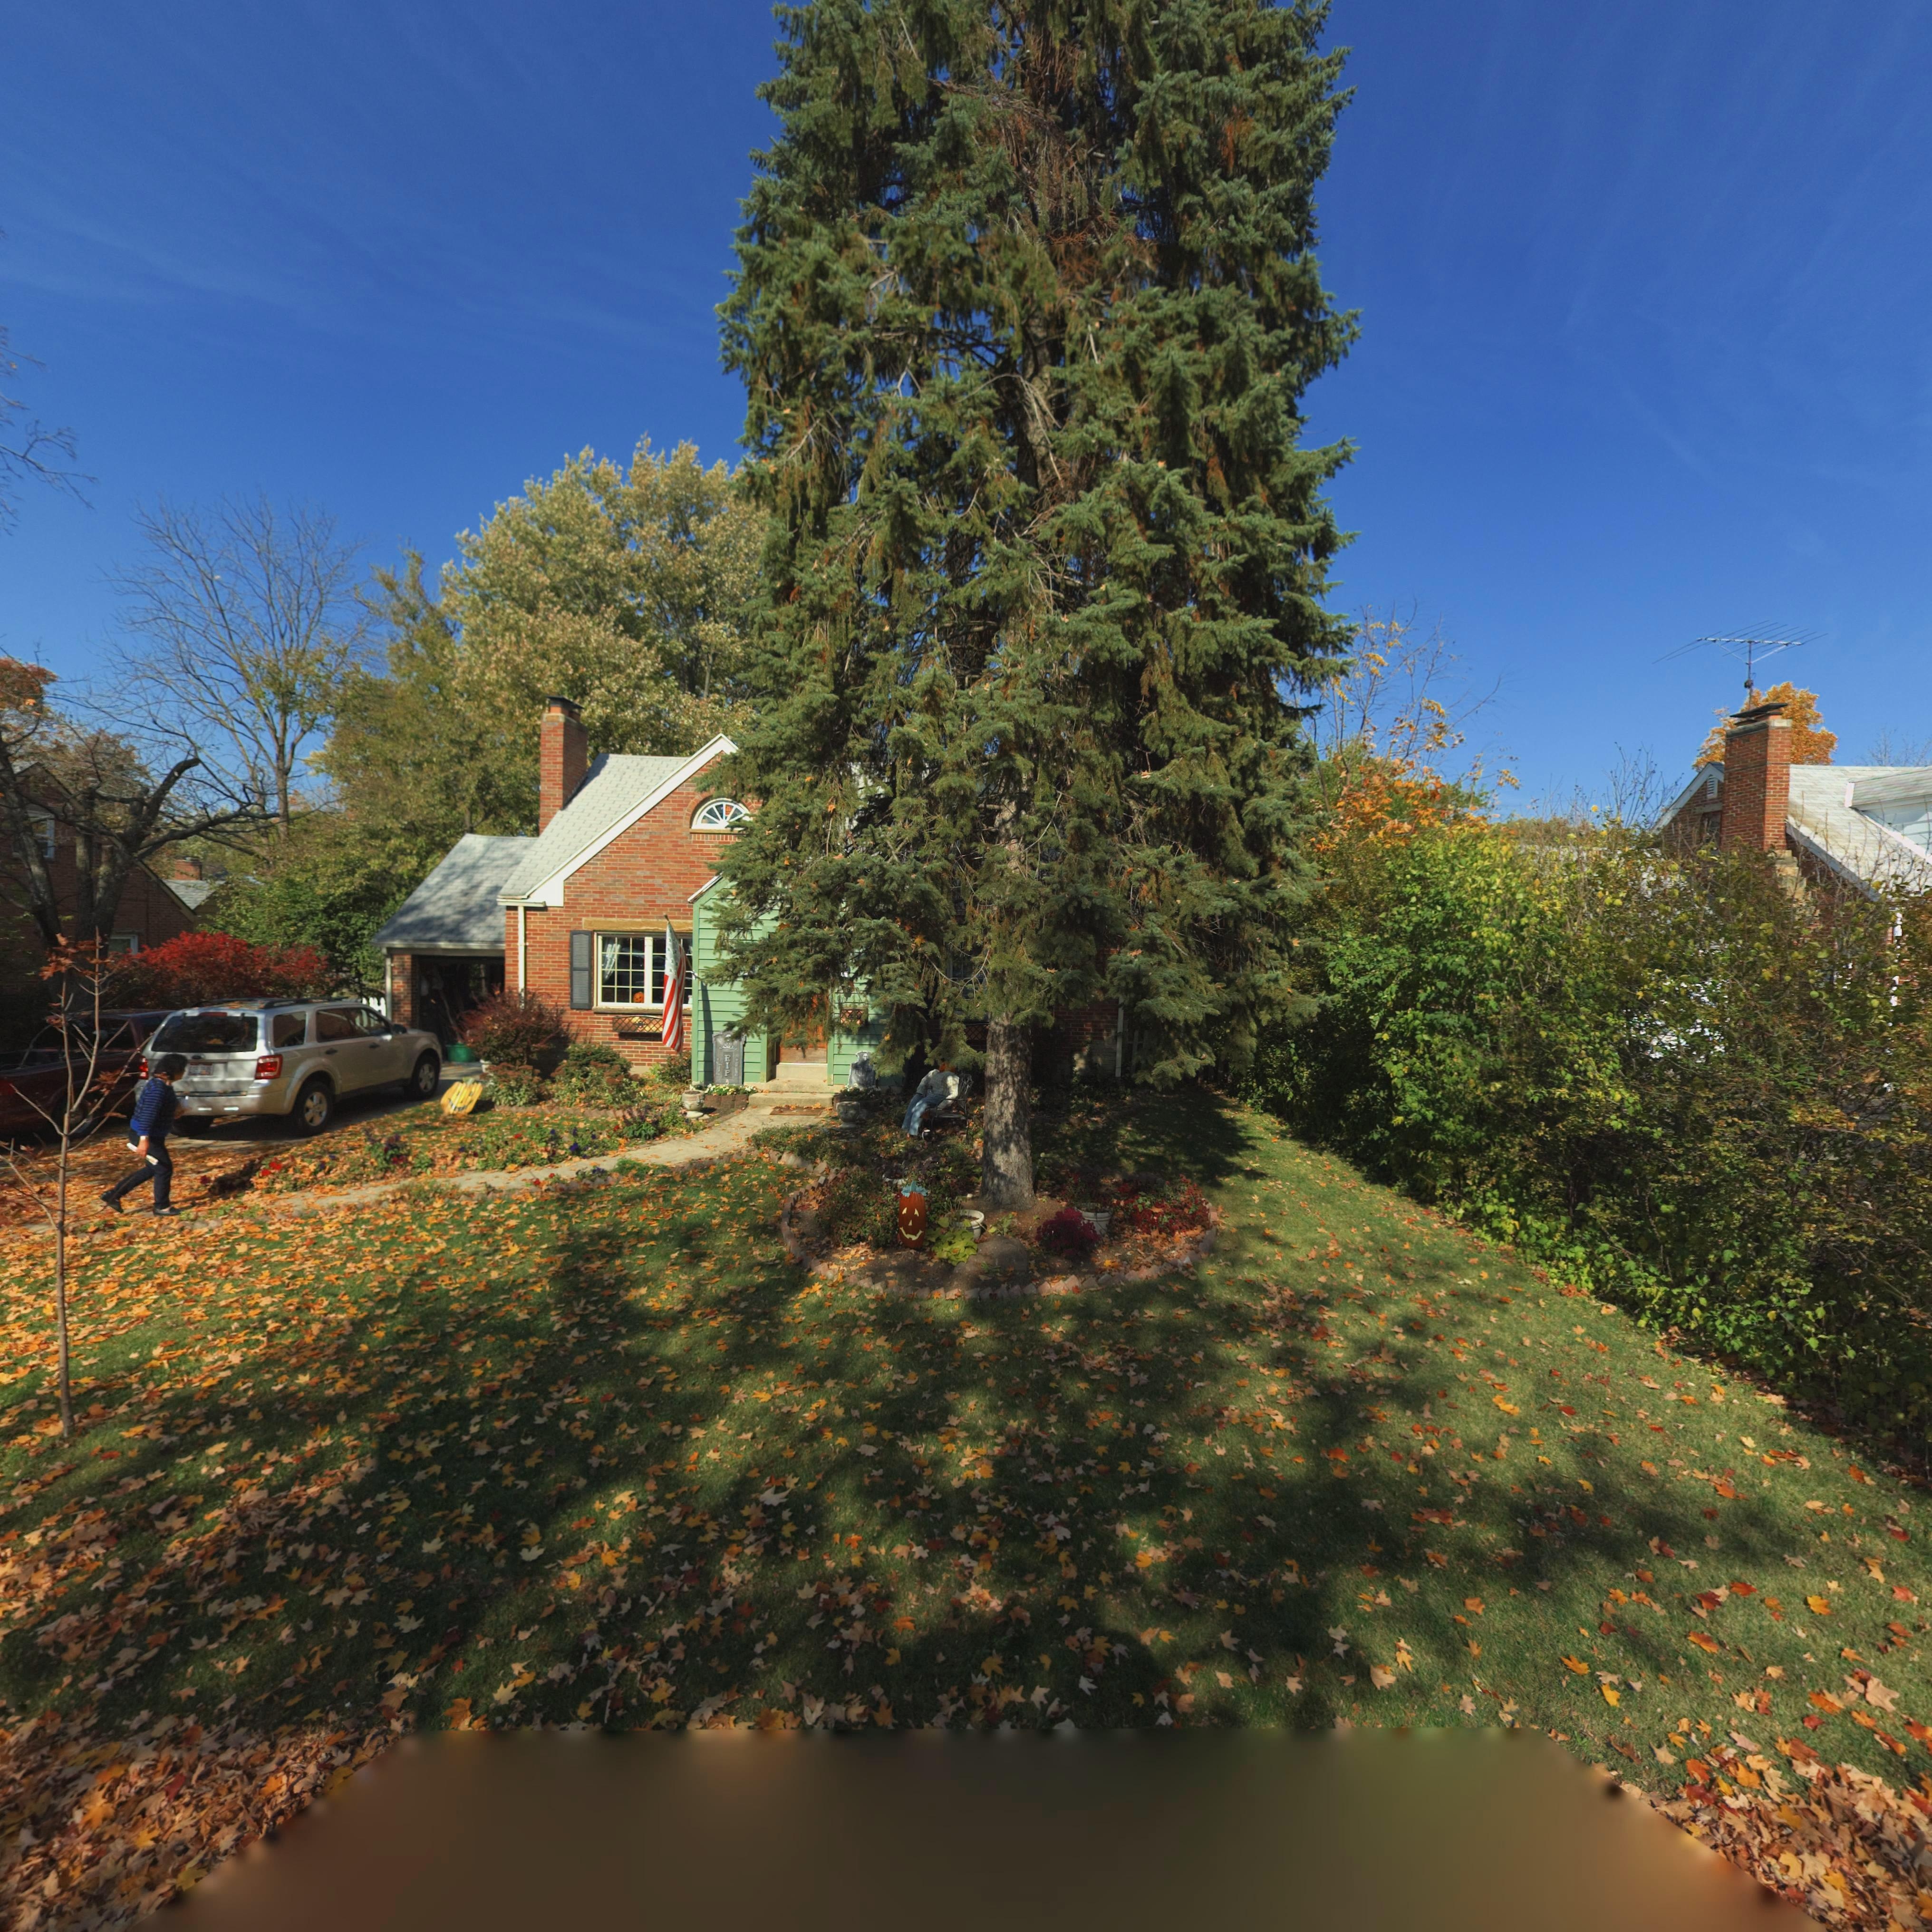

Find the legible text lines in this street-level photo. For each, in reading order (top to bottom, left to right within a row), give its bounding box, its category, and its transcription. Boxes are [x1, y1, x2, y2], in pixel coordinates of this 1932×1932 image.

[724, 1054, 731, 1076] None: RIP